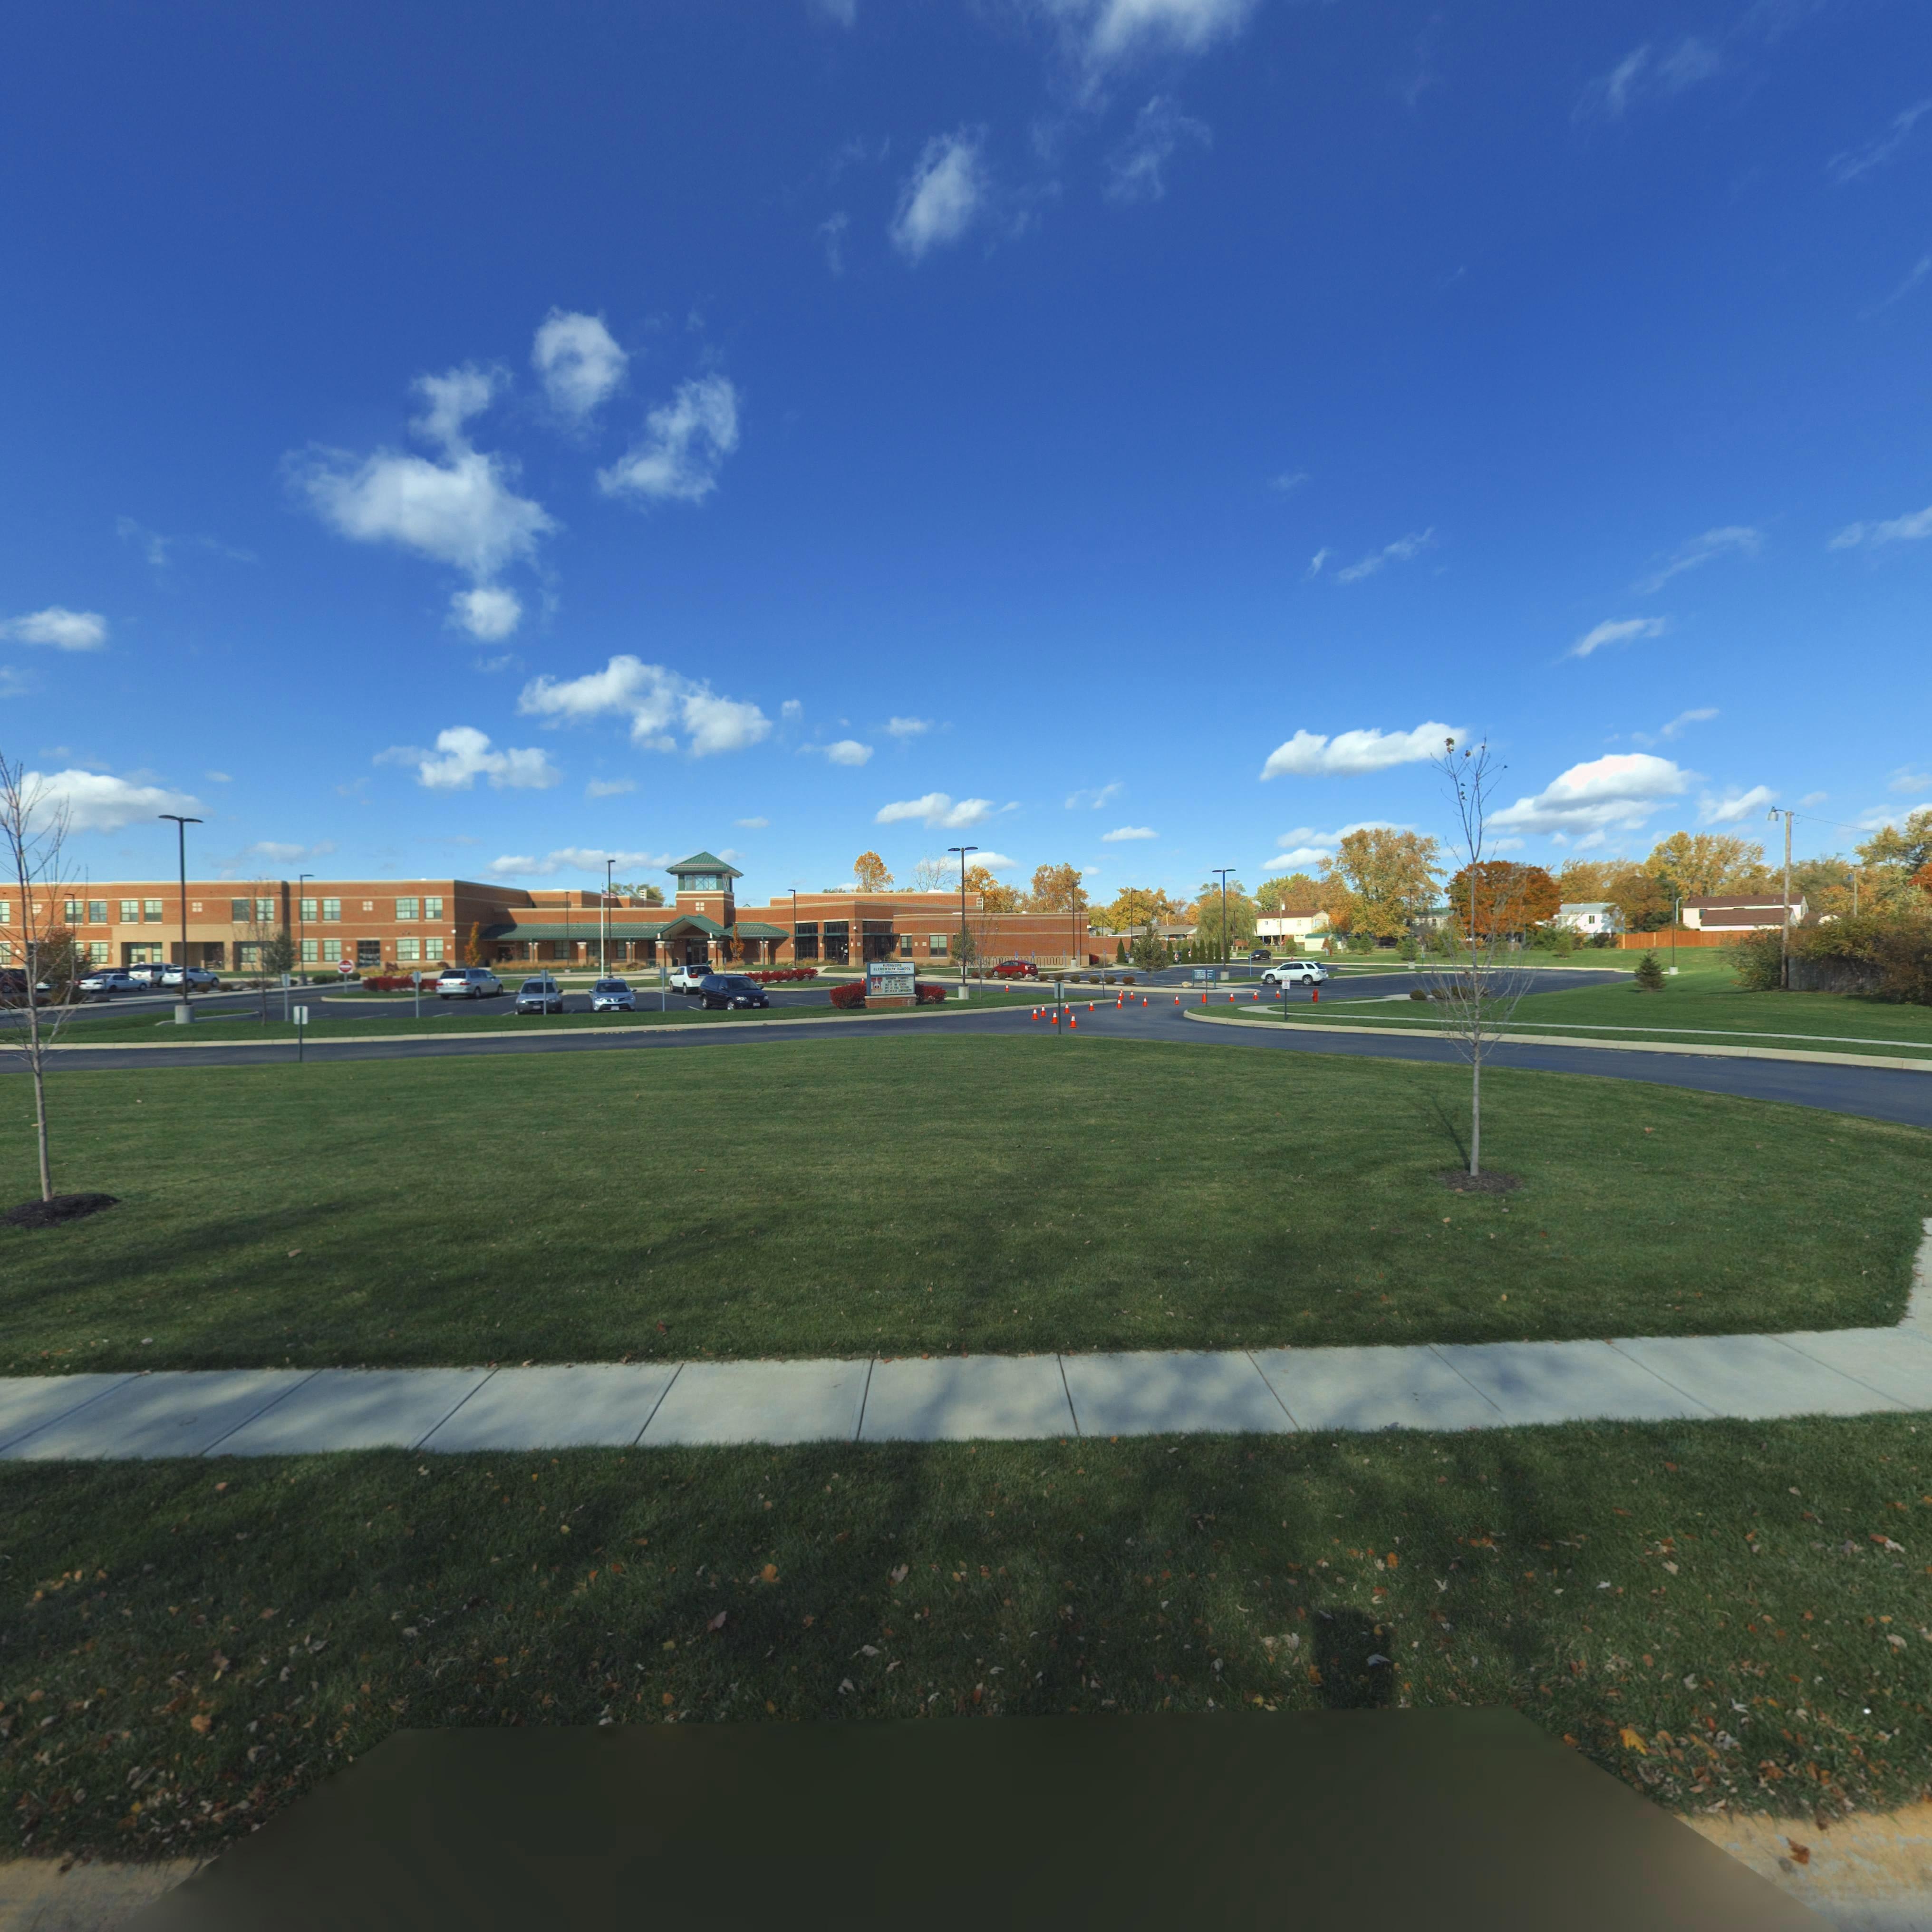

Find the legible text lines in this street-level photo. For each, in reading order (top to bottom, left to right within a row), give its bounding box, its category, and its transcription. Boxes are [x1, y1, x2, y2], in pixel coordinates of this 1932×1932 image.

[879, 971, 884, 974] StreetNumber: 7***